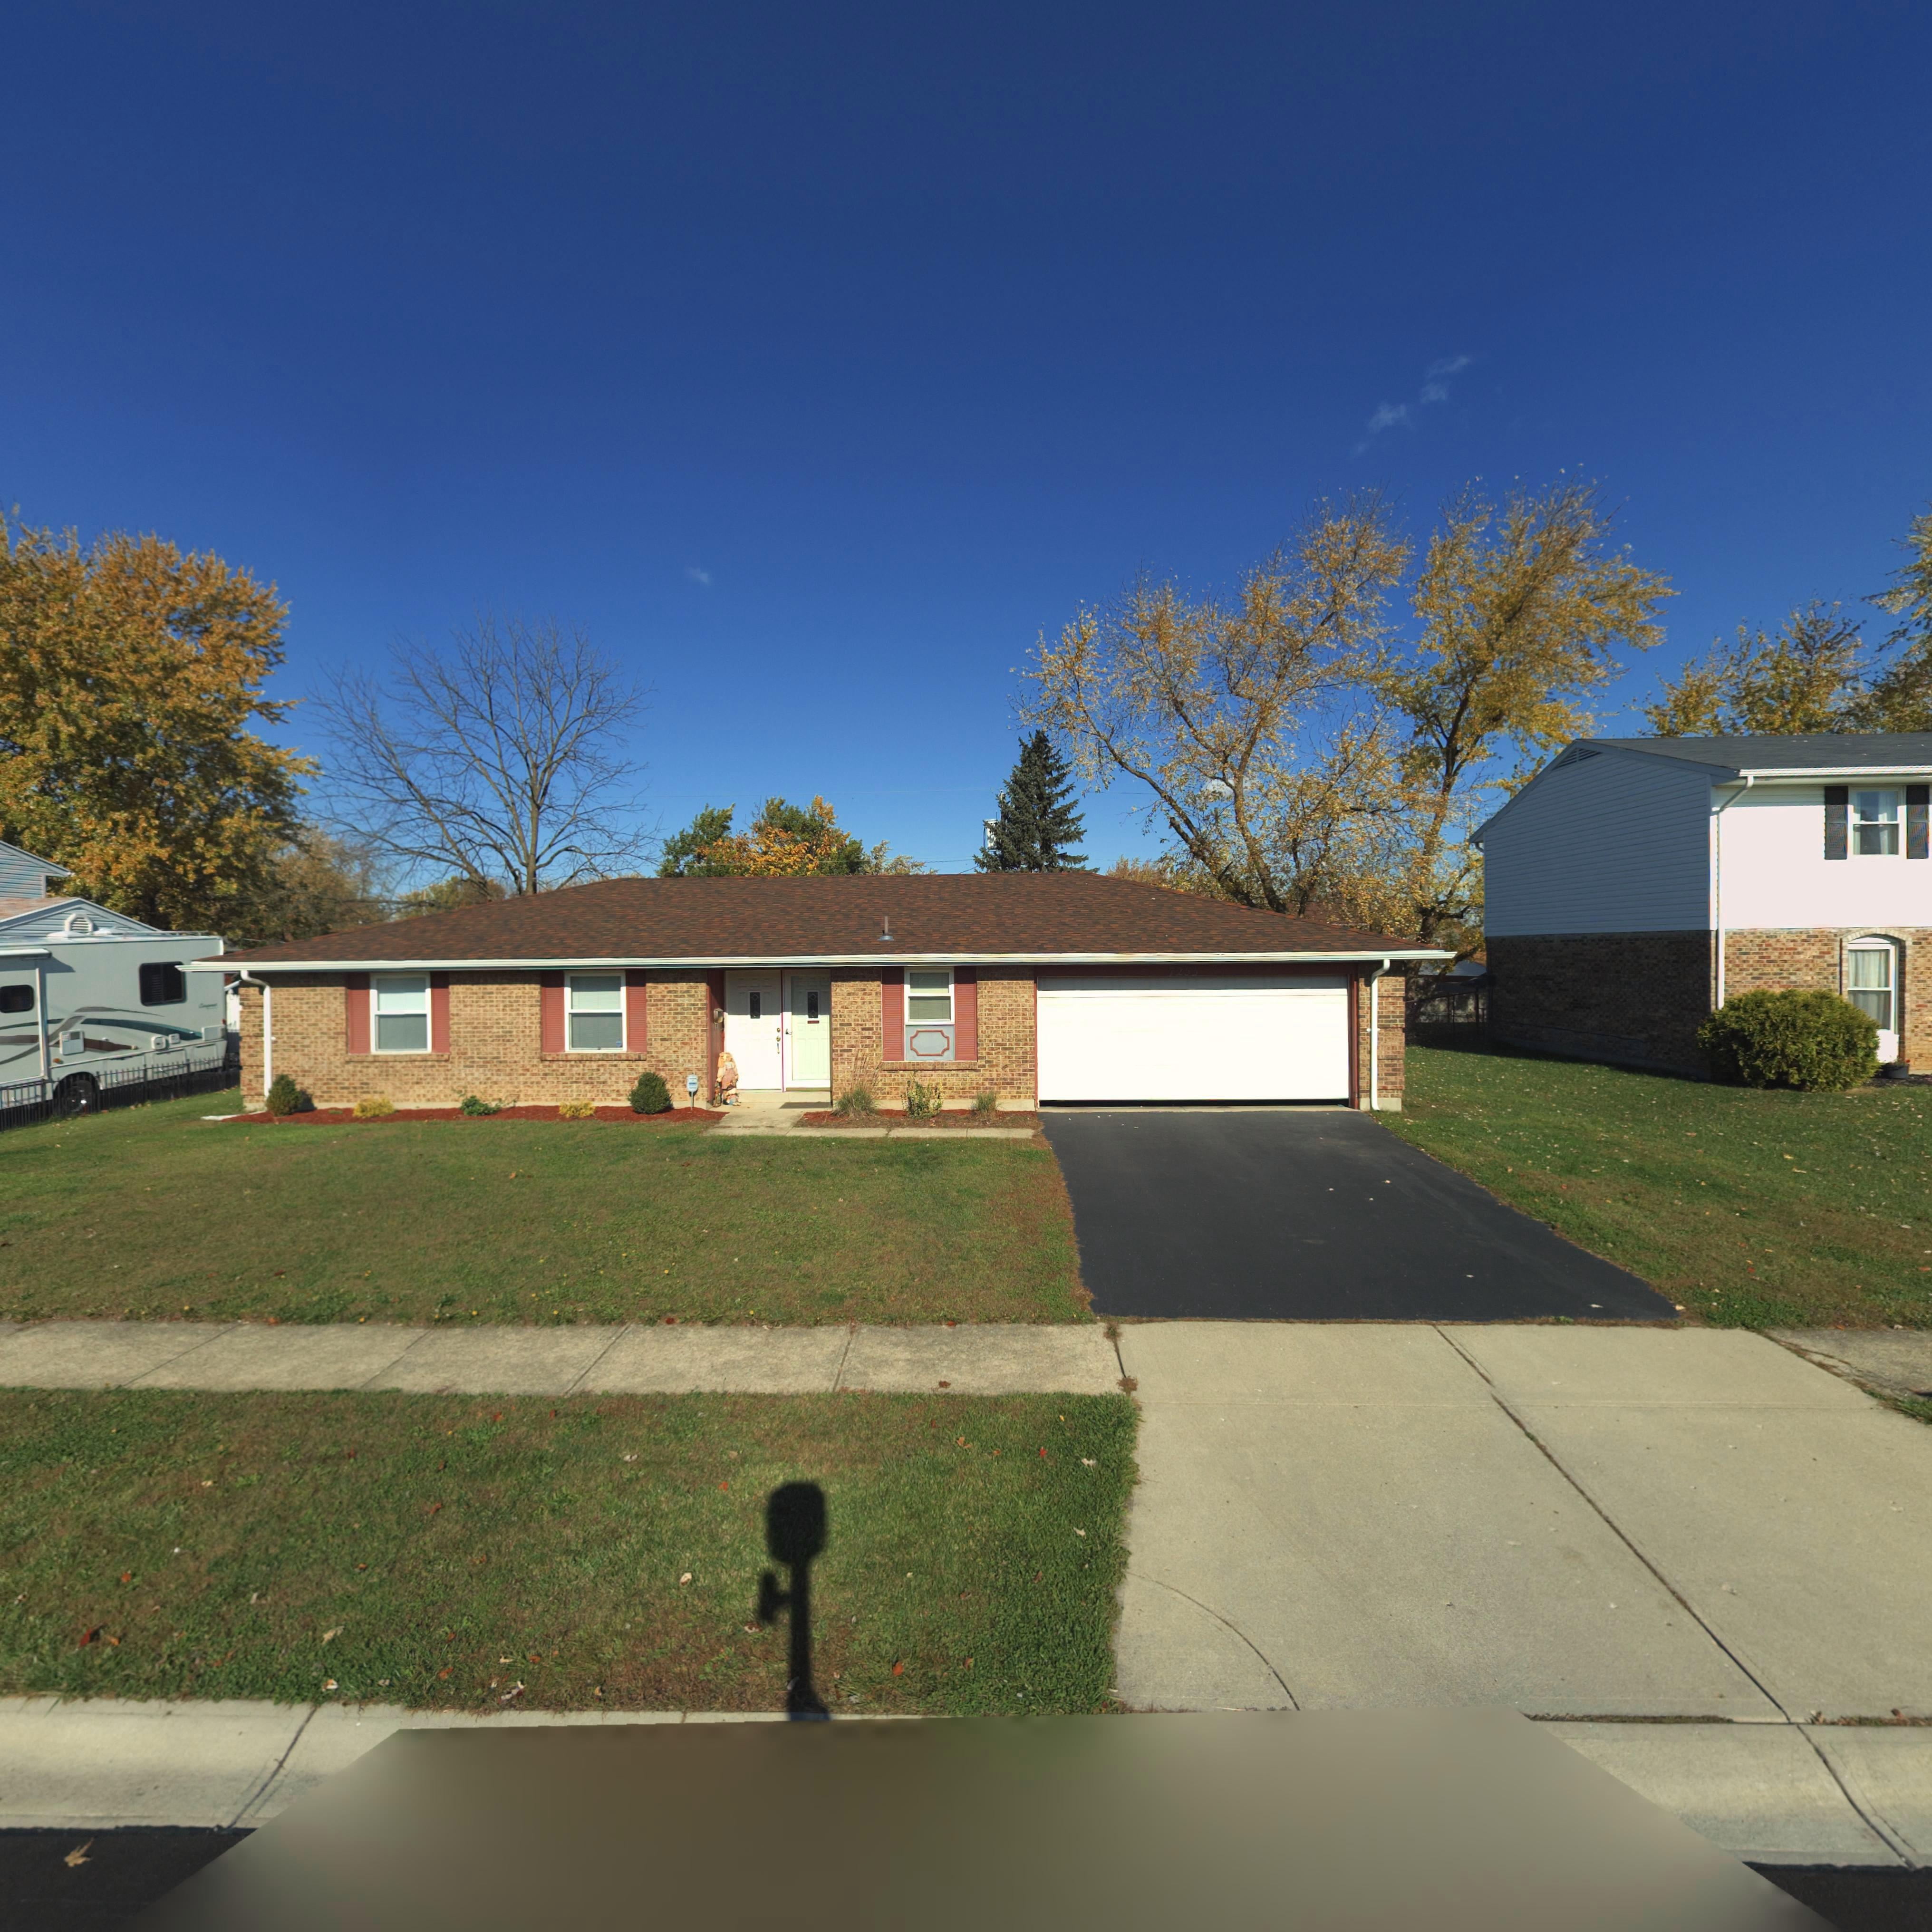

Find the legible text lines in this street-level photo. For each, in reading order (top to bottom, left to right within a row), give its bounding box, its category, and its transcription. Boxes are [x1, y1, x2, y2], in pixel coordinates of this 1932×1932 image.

[1169, 966, 1198, 977] StreetNumber: 72**